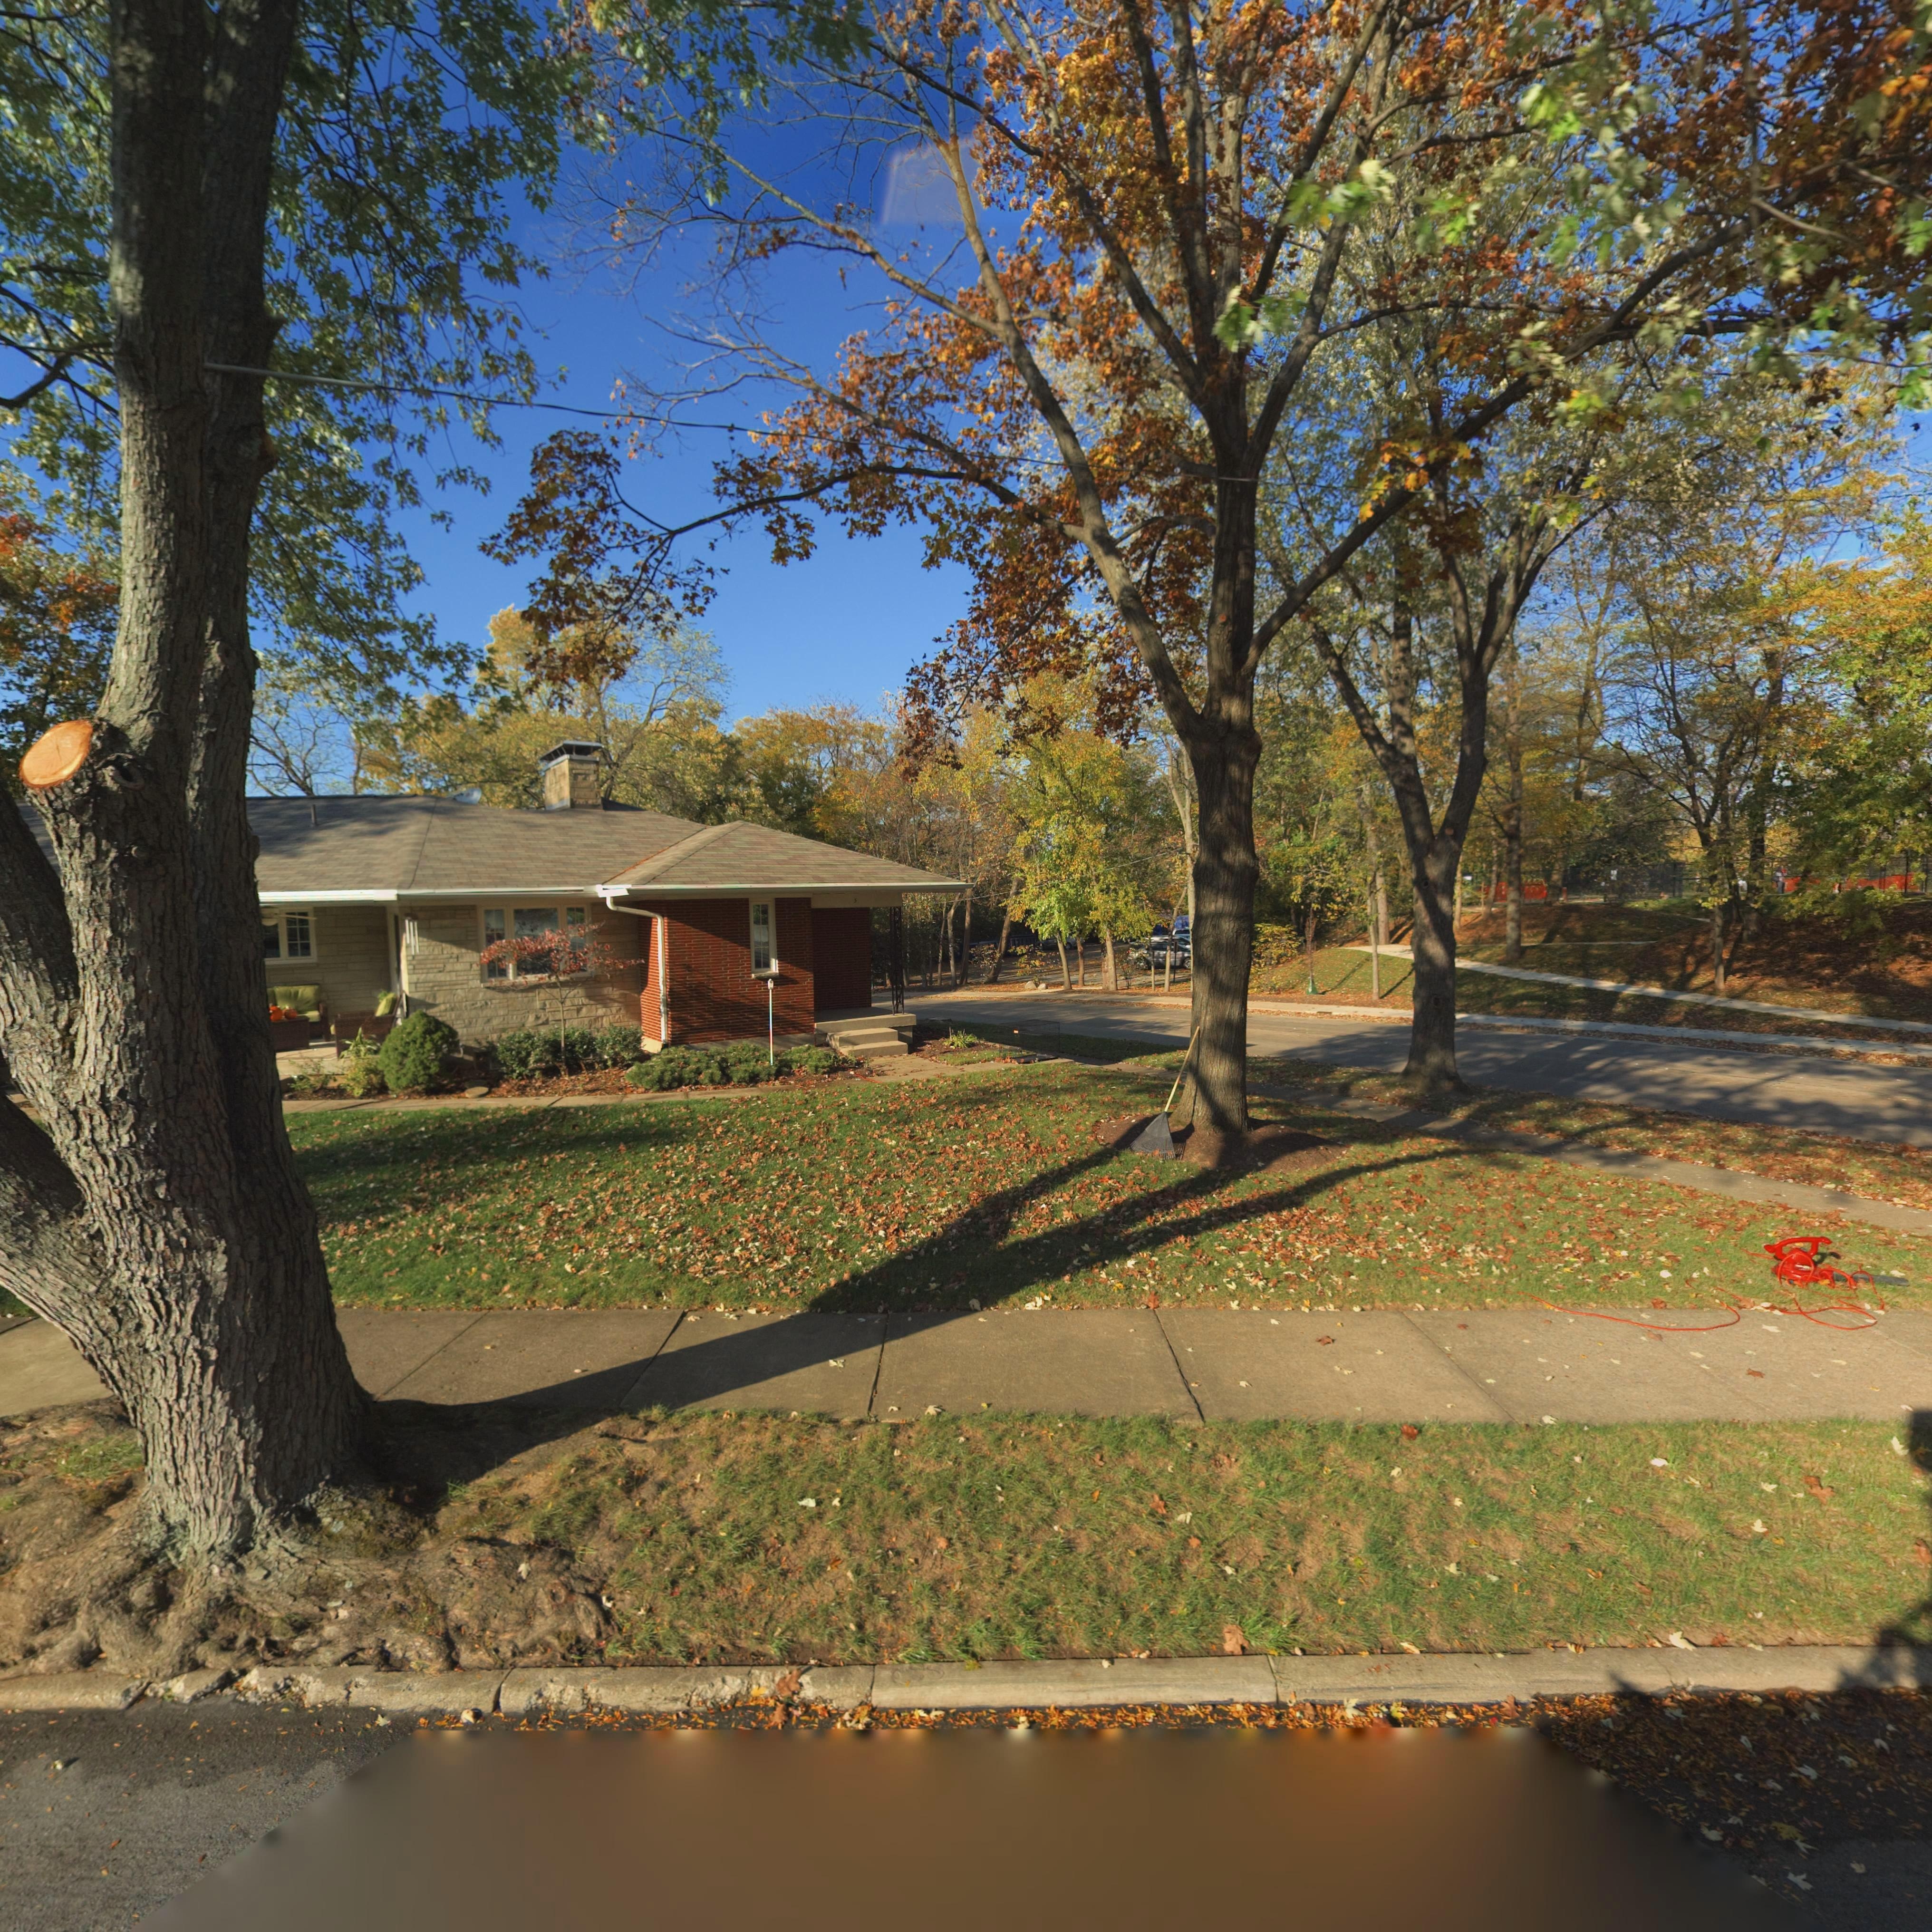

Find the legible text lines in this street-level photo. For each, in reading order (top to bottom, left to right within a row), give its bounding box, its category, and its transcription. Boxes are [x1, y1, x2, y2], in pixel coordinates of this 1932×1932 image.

[853, 898, 857, 903] StreetNumber: 5